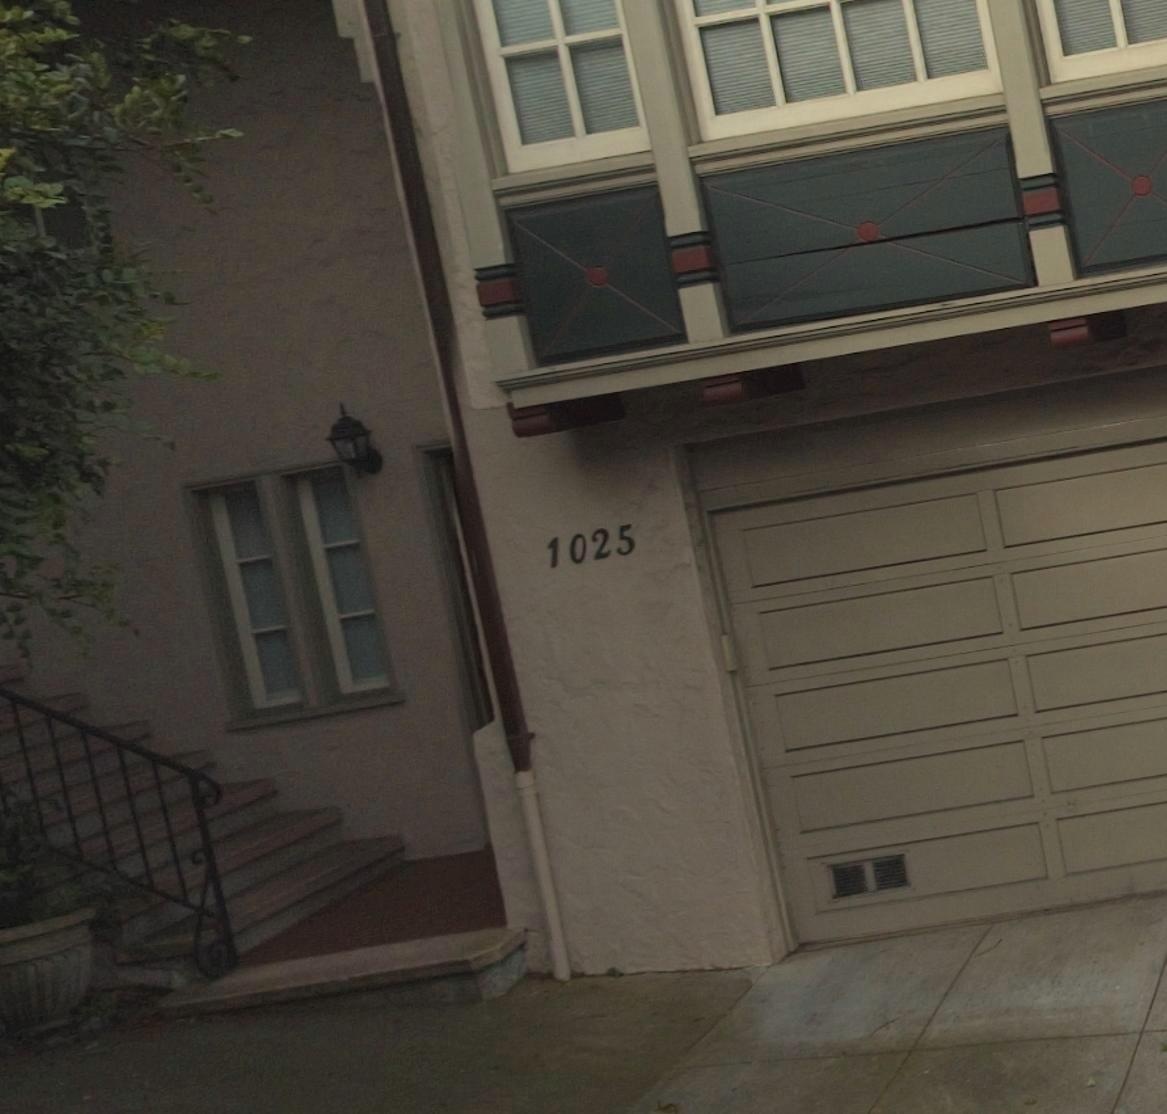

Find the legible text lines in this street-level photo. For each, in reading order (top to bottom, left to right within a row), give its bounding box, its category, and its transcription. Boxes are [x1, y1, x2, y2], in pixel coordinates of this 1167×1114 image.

[544, 520, 638, 573] StreetNumber: 1025